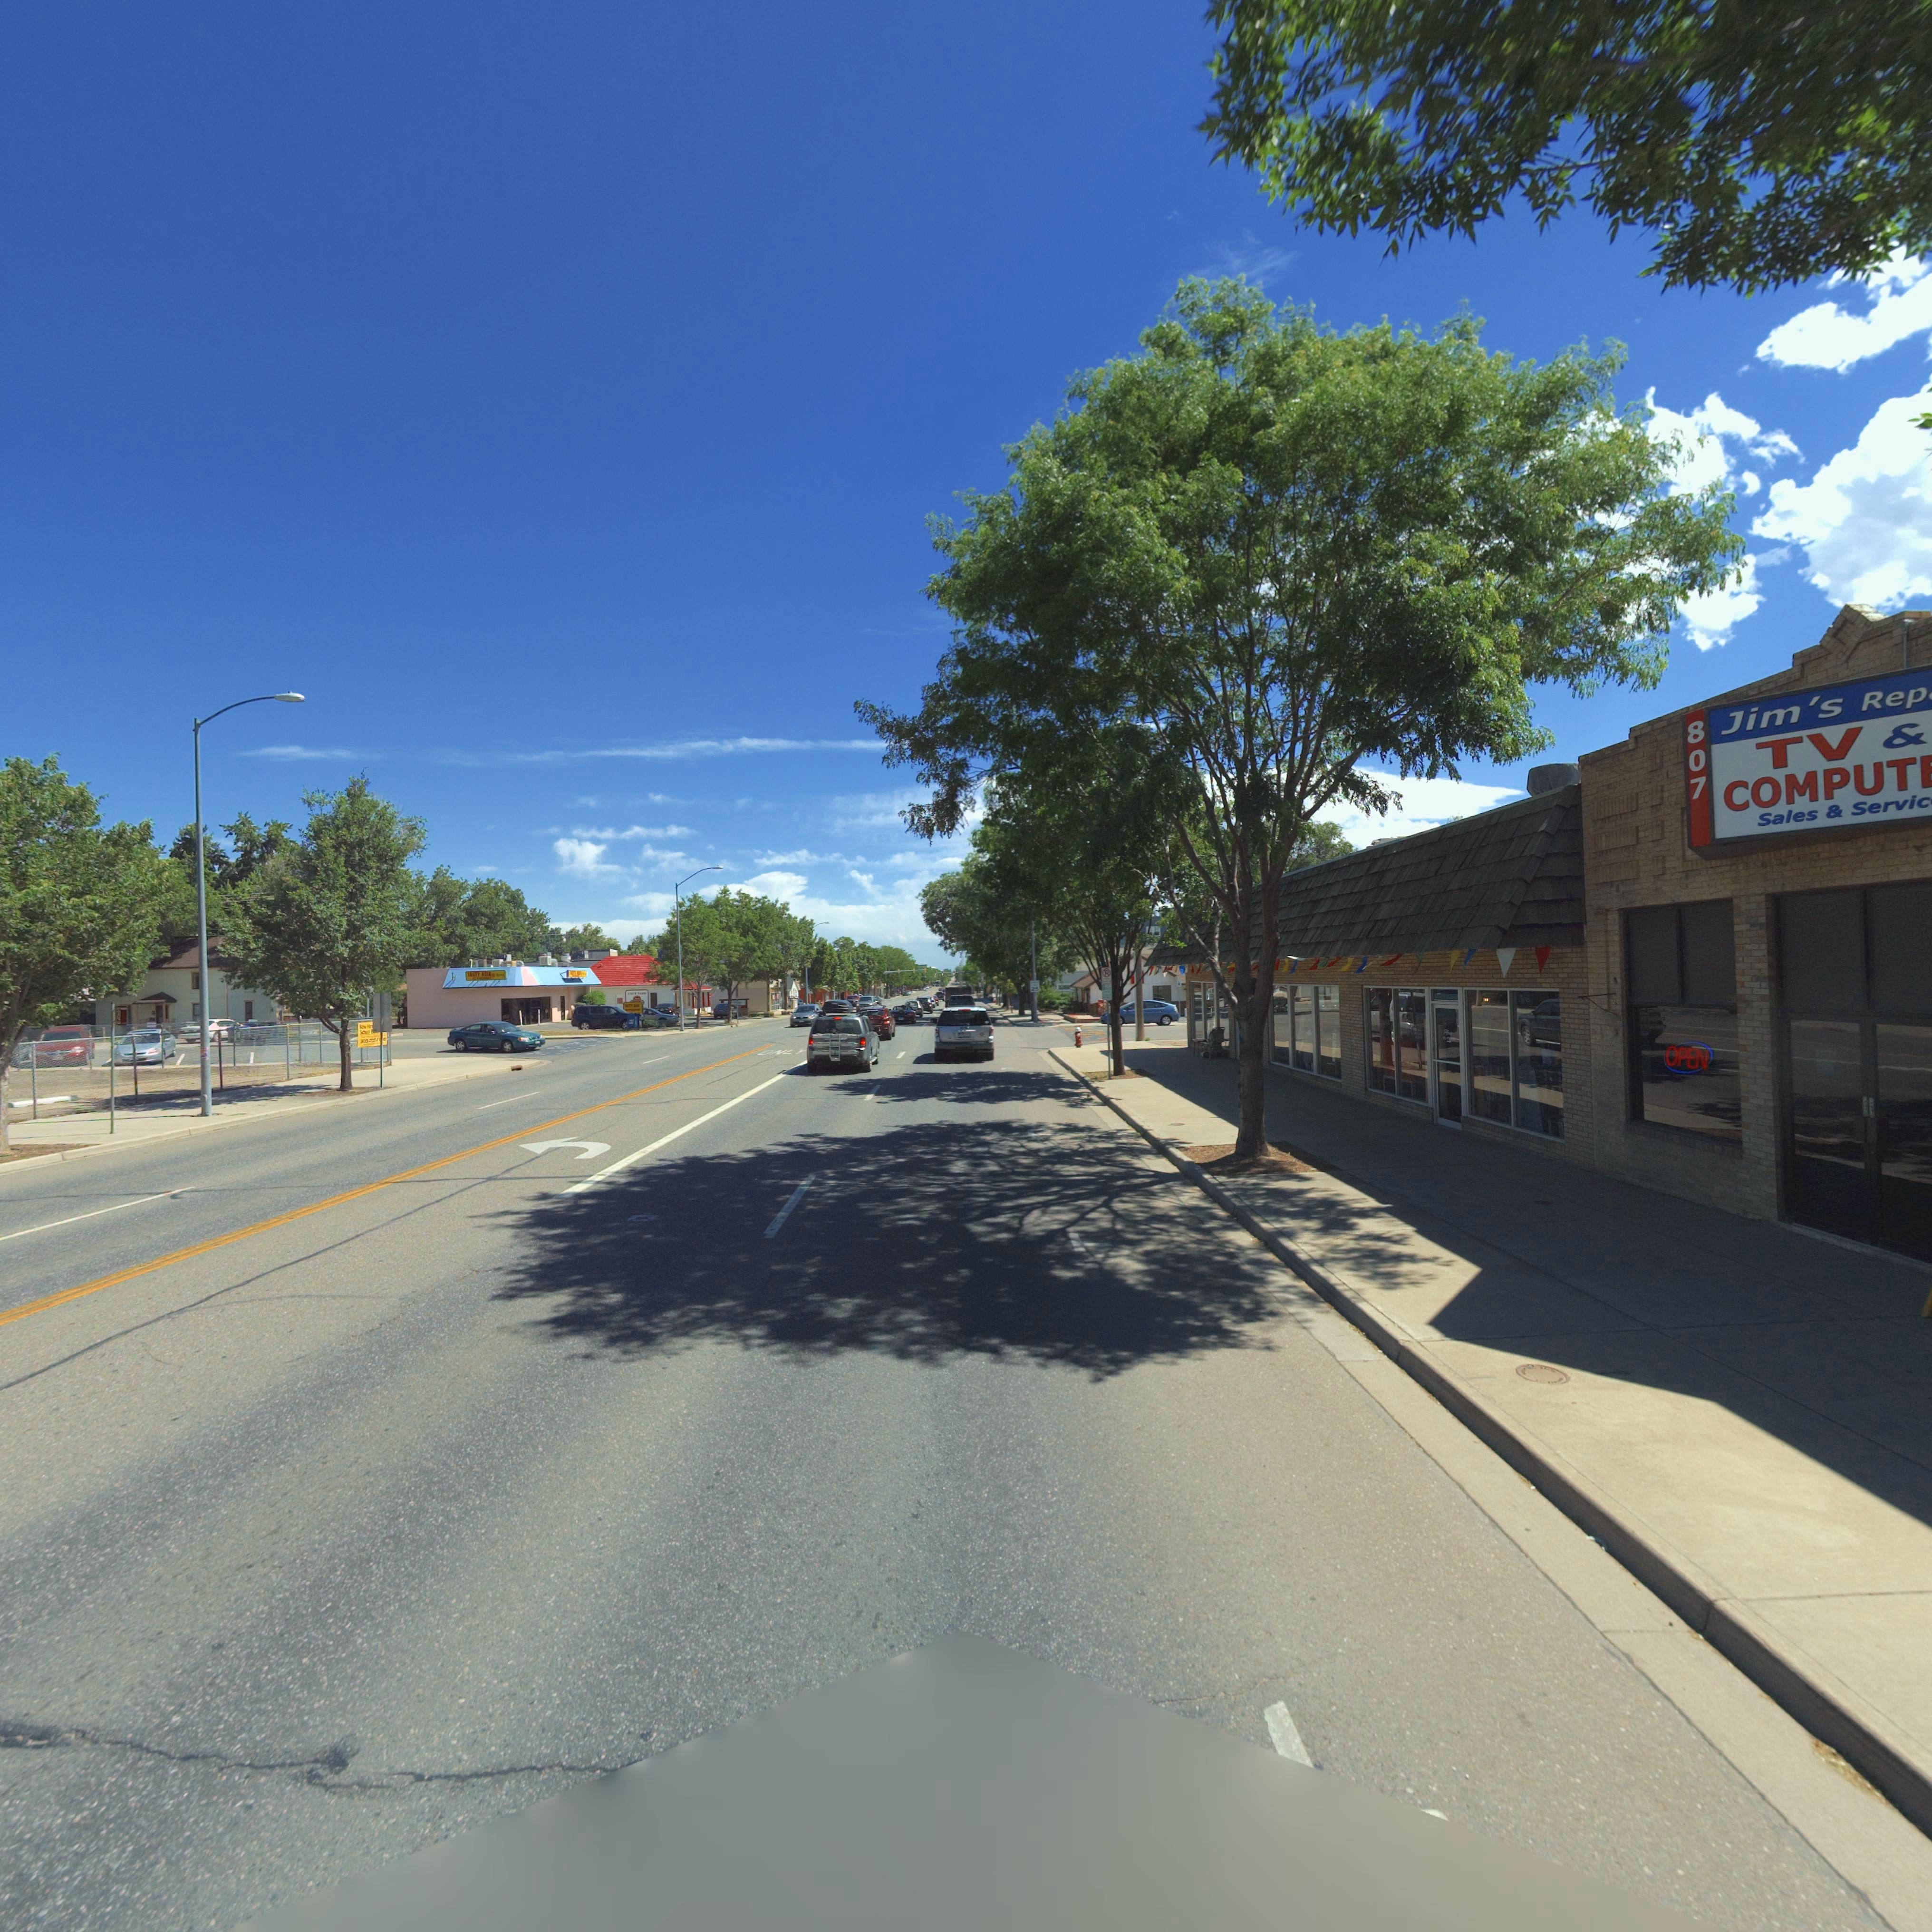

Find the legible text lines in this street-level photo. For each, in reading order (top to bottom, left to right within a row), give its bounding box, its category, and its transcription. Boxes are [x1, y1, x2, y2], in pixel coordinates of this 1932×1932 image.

[1719, 686, 1929, 736] BusinessName: Jim's Rep
[1687, 720, 1707, 801] StreetNumber: 807
[466, 971, 491, 976] BusinessName: T*STY ASIA
[624, 1004, 639, 1008] BusinessName: ***TY ****